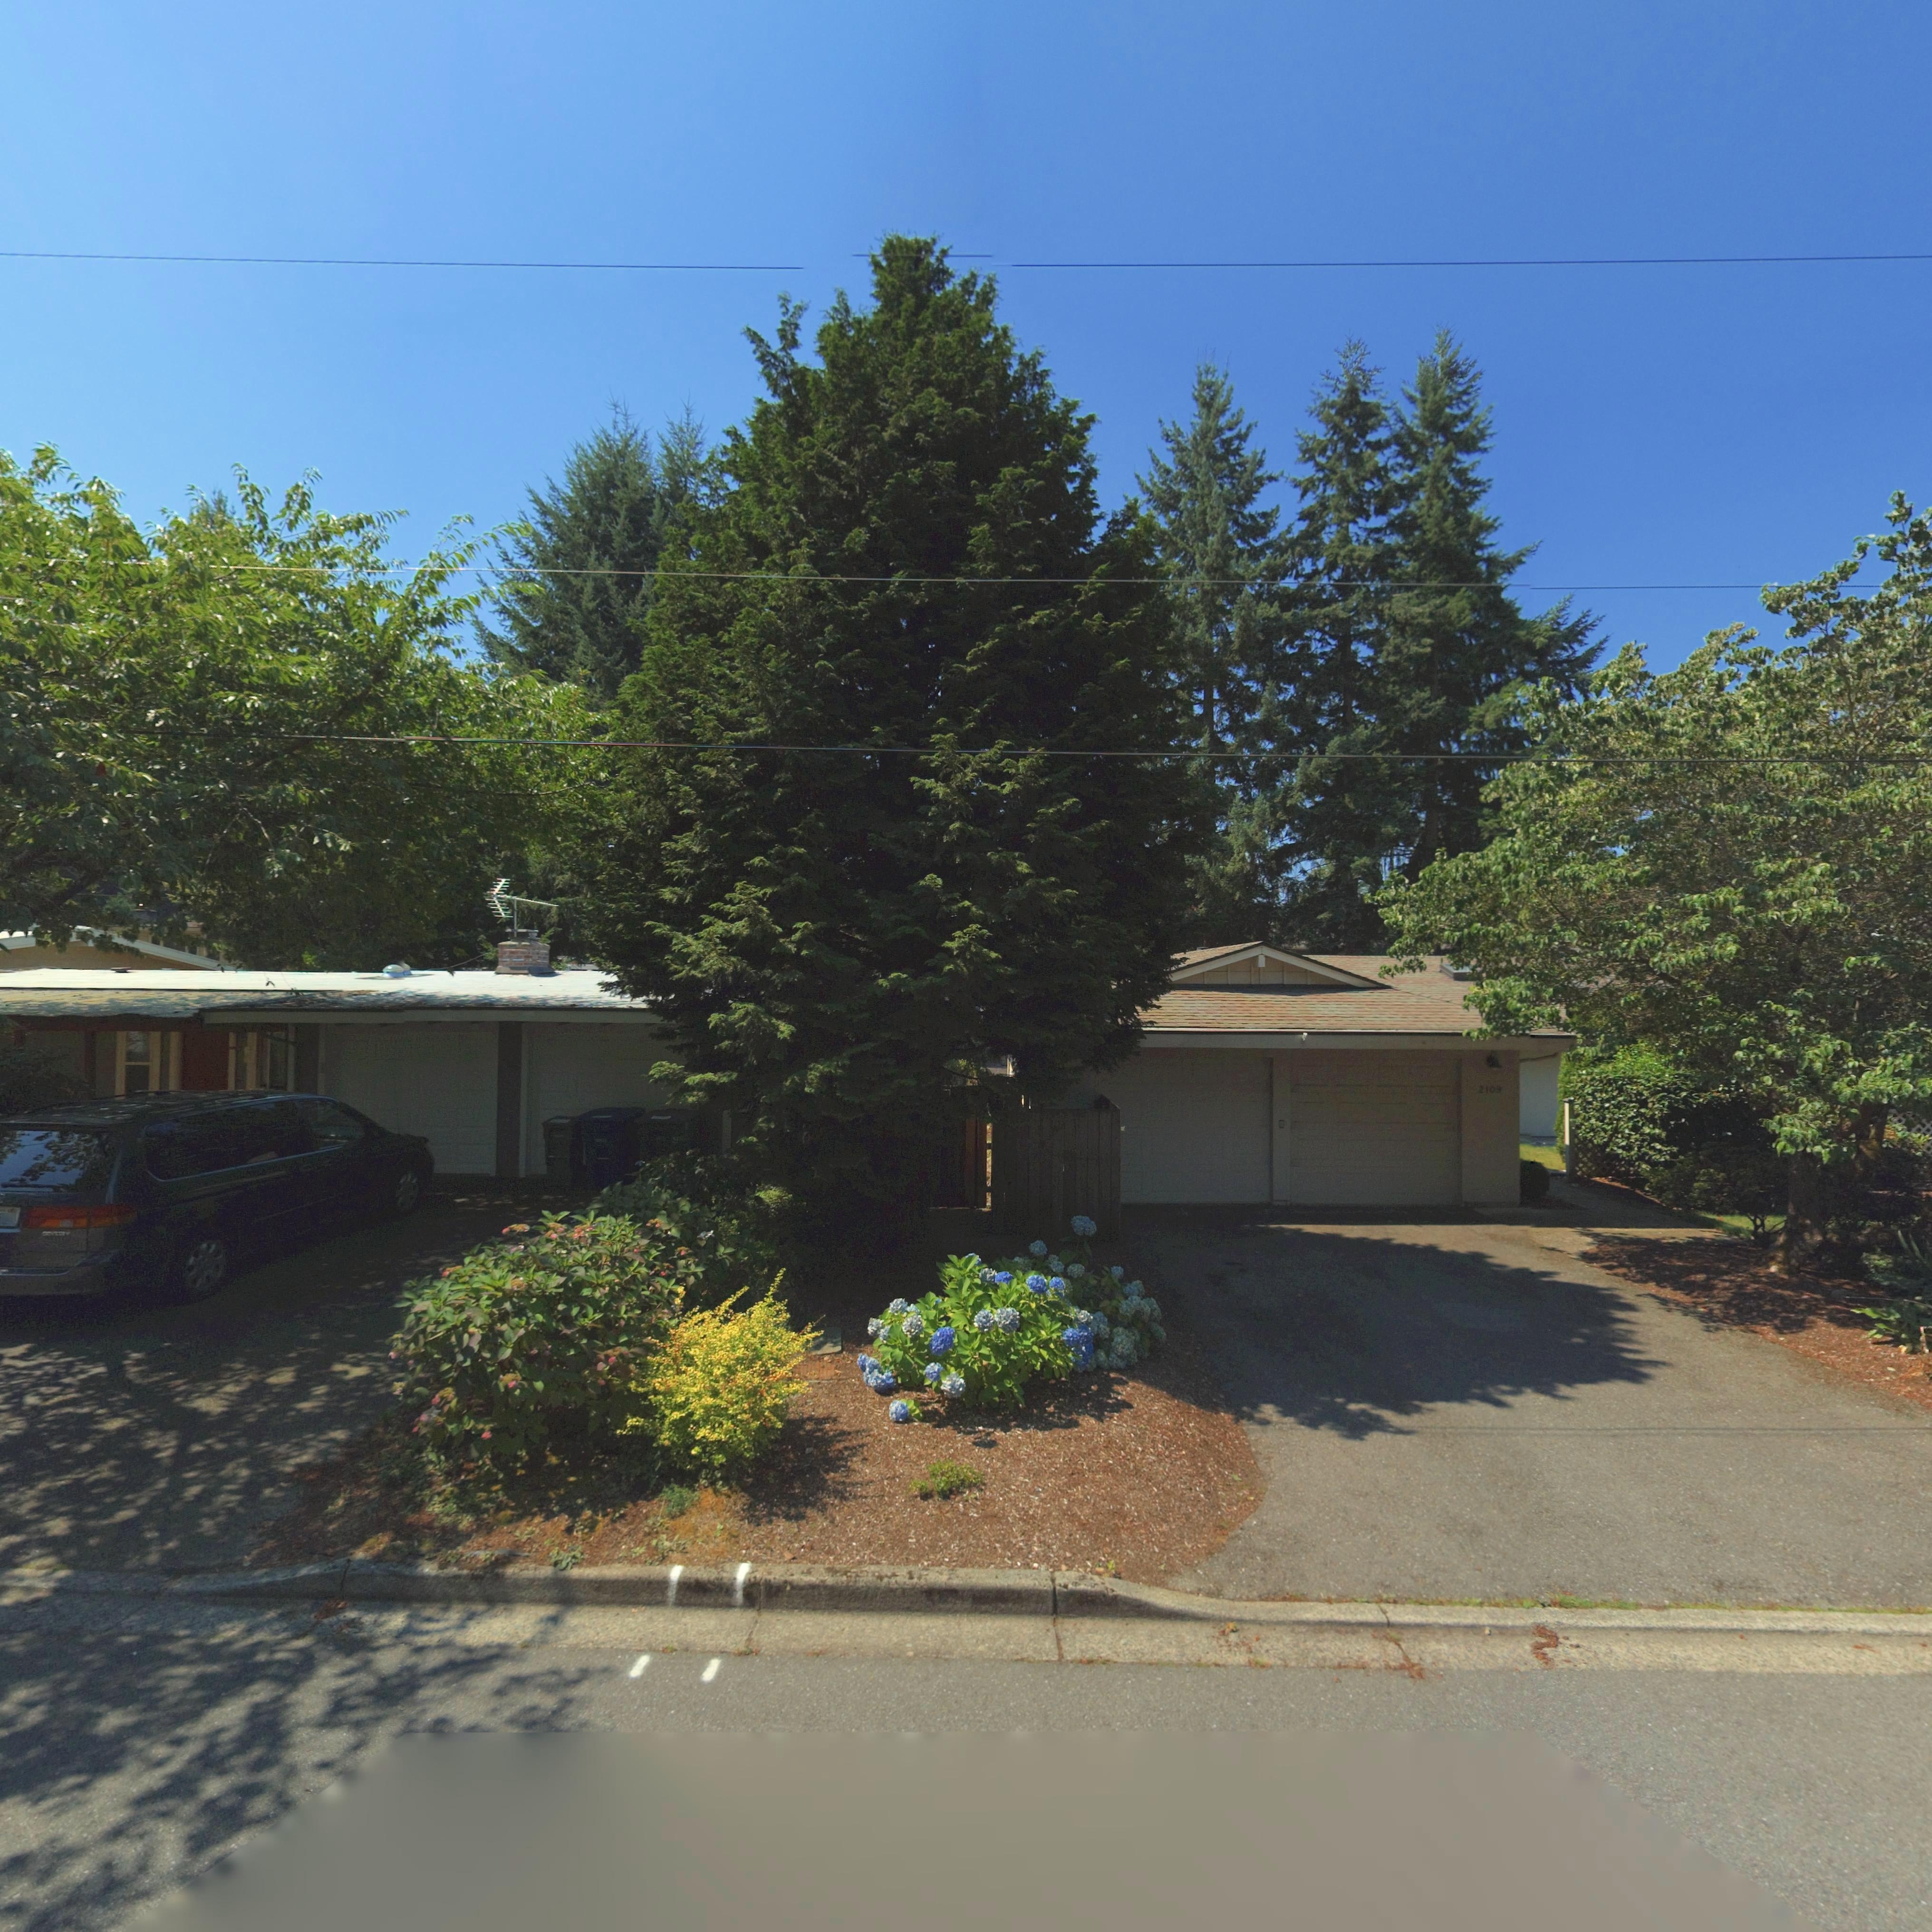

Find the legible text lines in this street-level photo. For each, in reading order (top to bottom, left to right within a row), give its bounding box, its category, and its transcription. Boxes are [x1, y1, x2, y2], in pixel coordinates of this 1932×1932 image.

[1477, 1084, 1501, 1093] StreetNumber: 2109